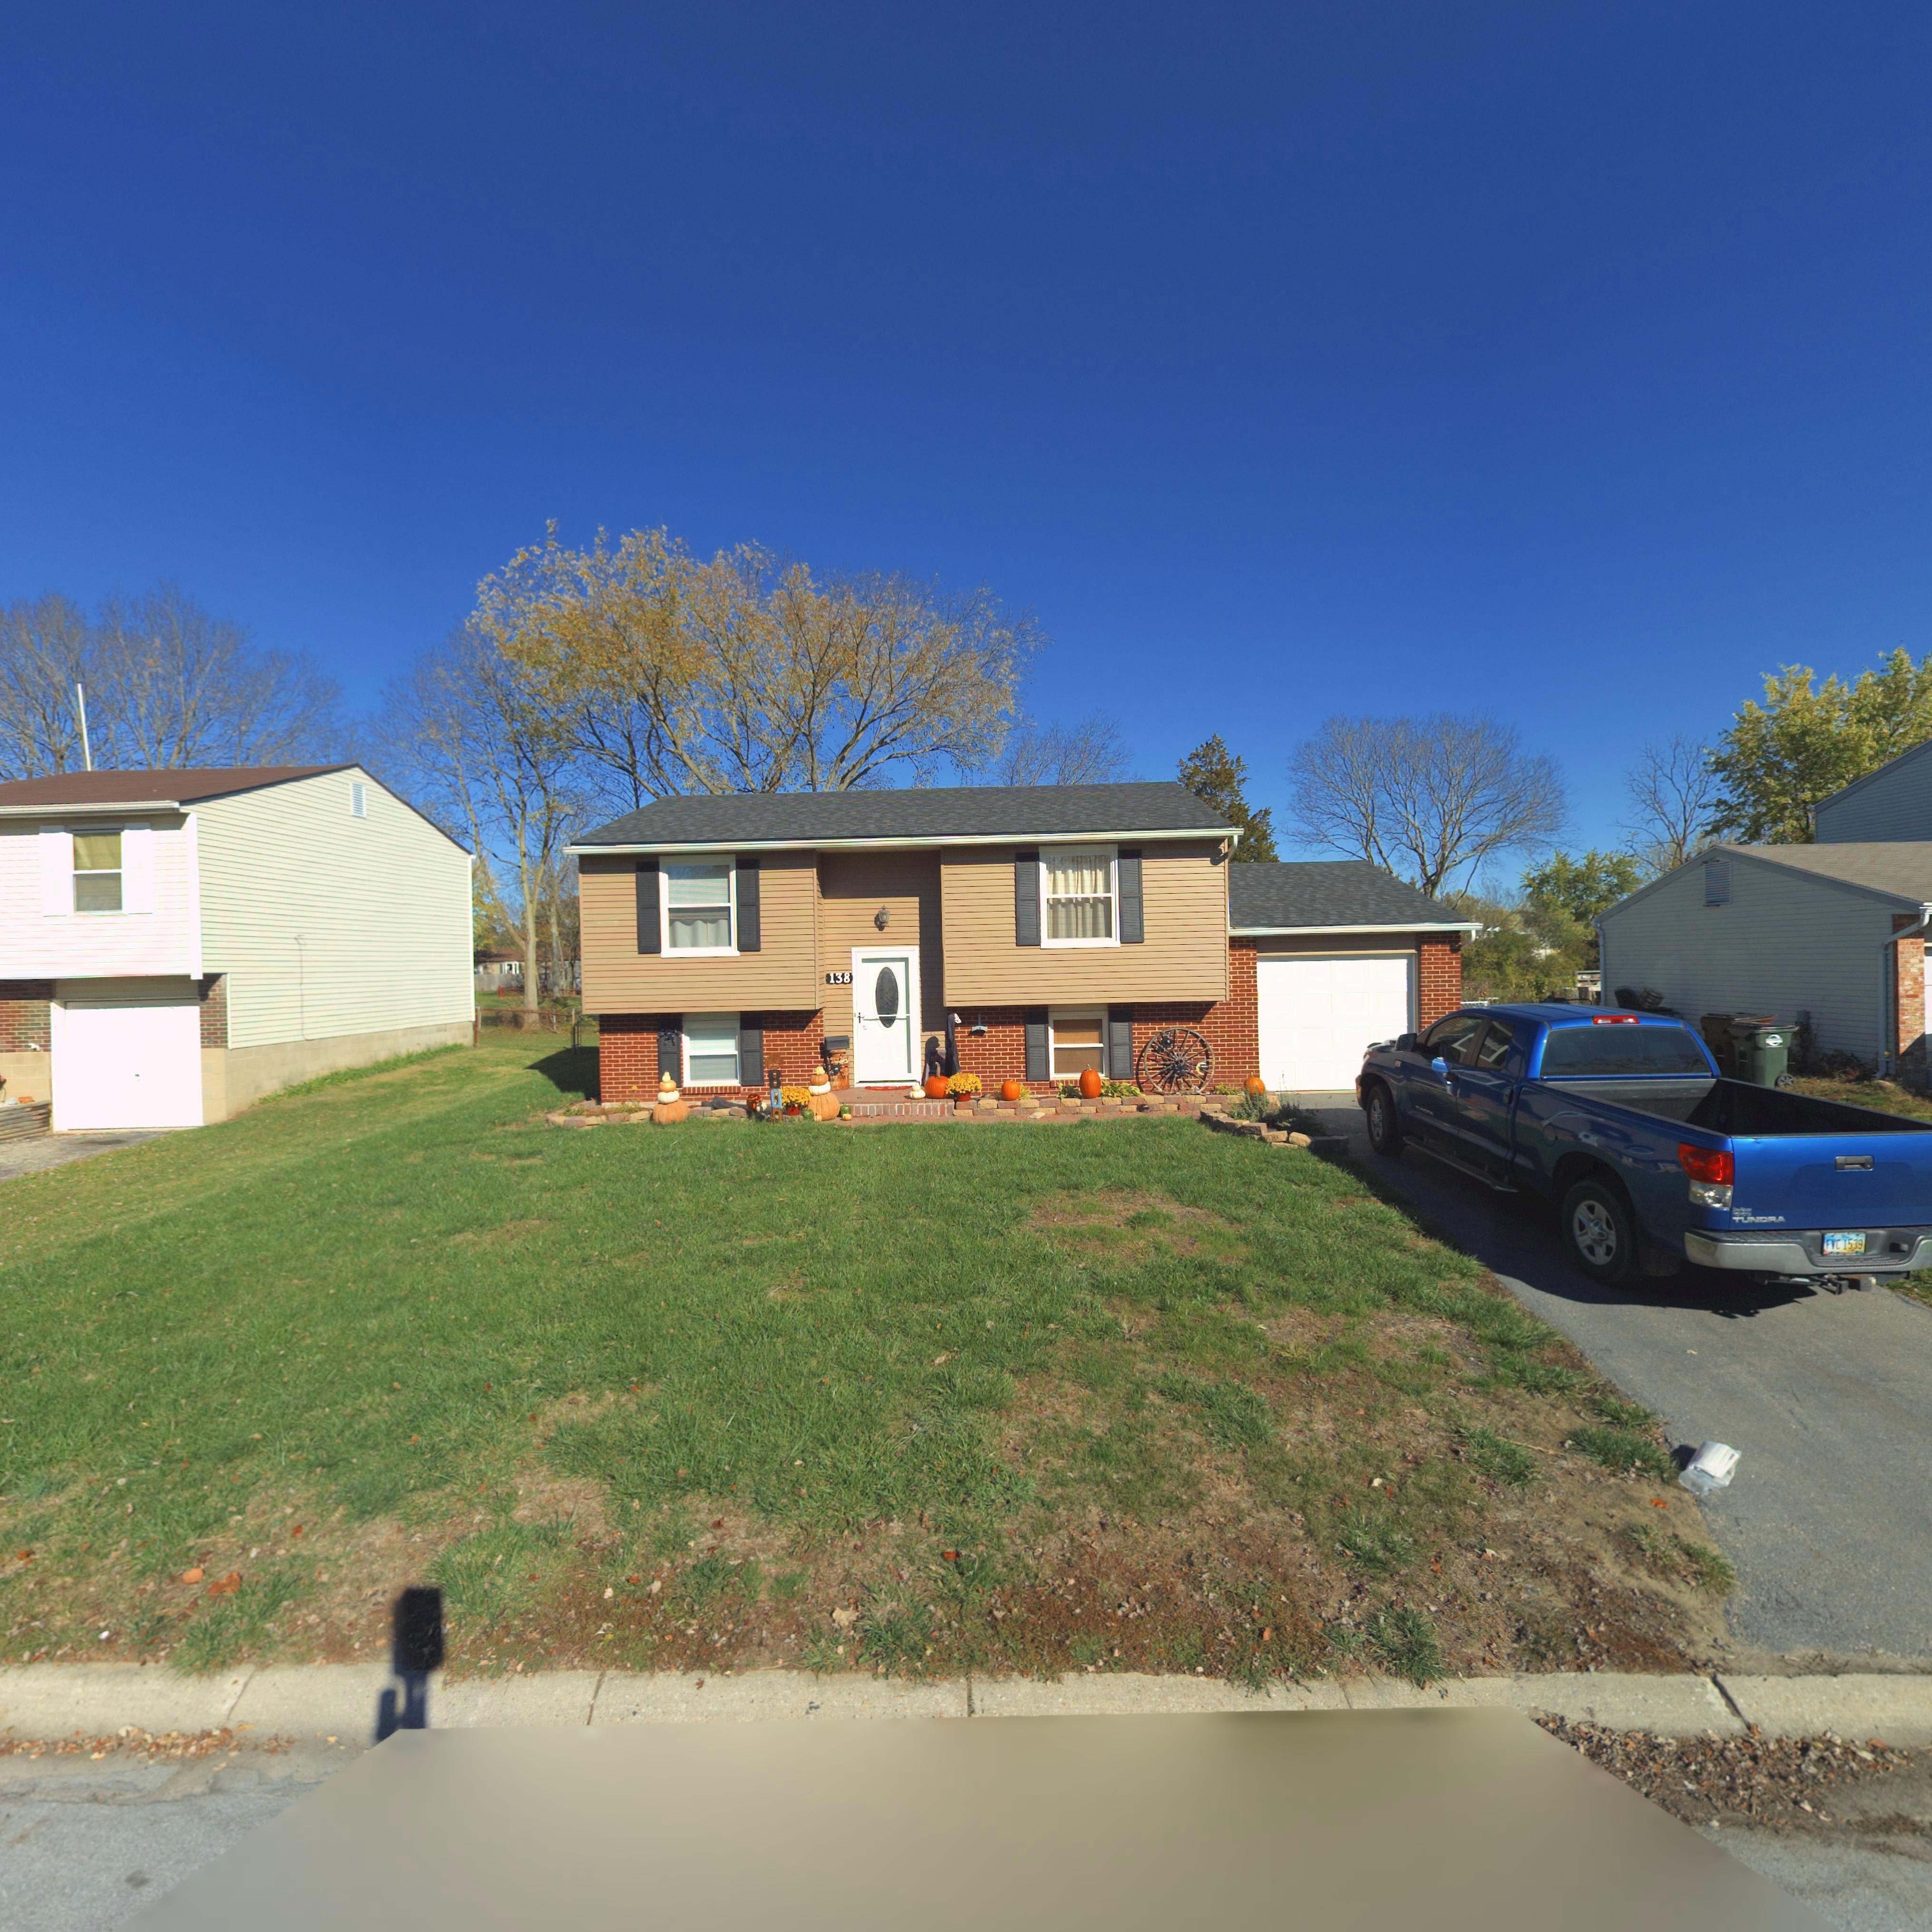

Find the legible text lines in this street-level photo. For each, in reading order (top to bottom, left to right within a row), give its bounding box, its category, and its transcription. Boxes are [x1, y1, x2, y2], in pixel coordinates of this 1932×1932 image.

[829, 972, 851, 984] StreetNumber: 138